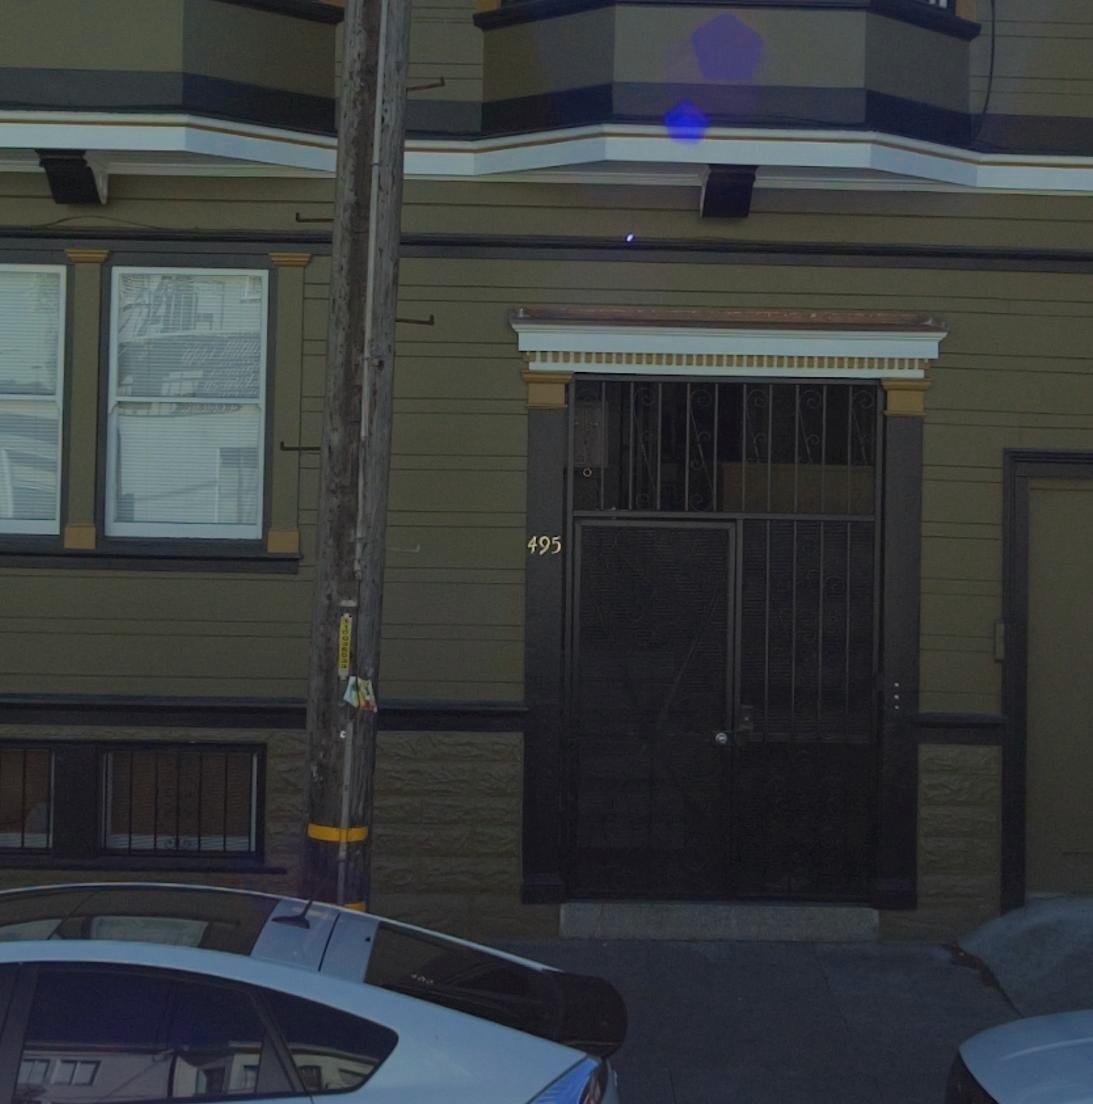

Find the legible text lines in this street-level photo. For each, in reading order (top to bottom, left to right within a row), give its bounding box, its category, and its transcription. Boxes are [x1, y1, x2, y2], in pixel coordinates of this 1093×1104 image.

[526, 532, 562, 556] StreetNumber: 495